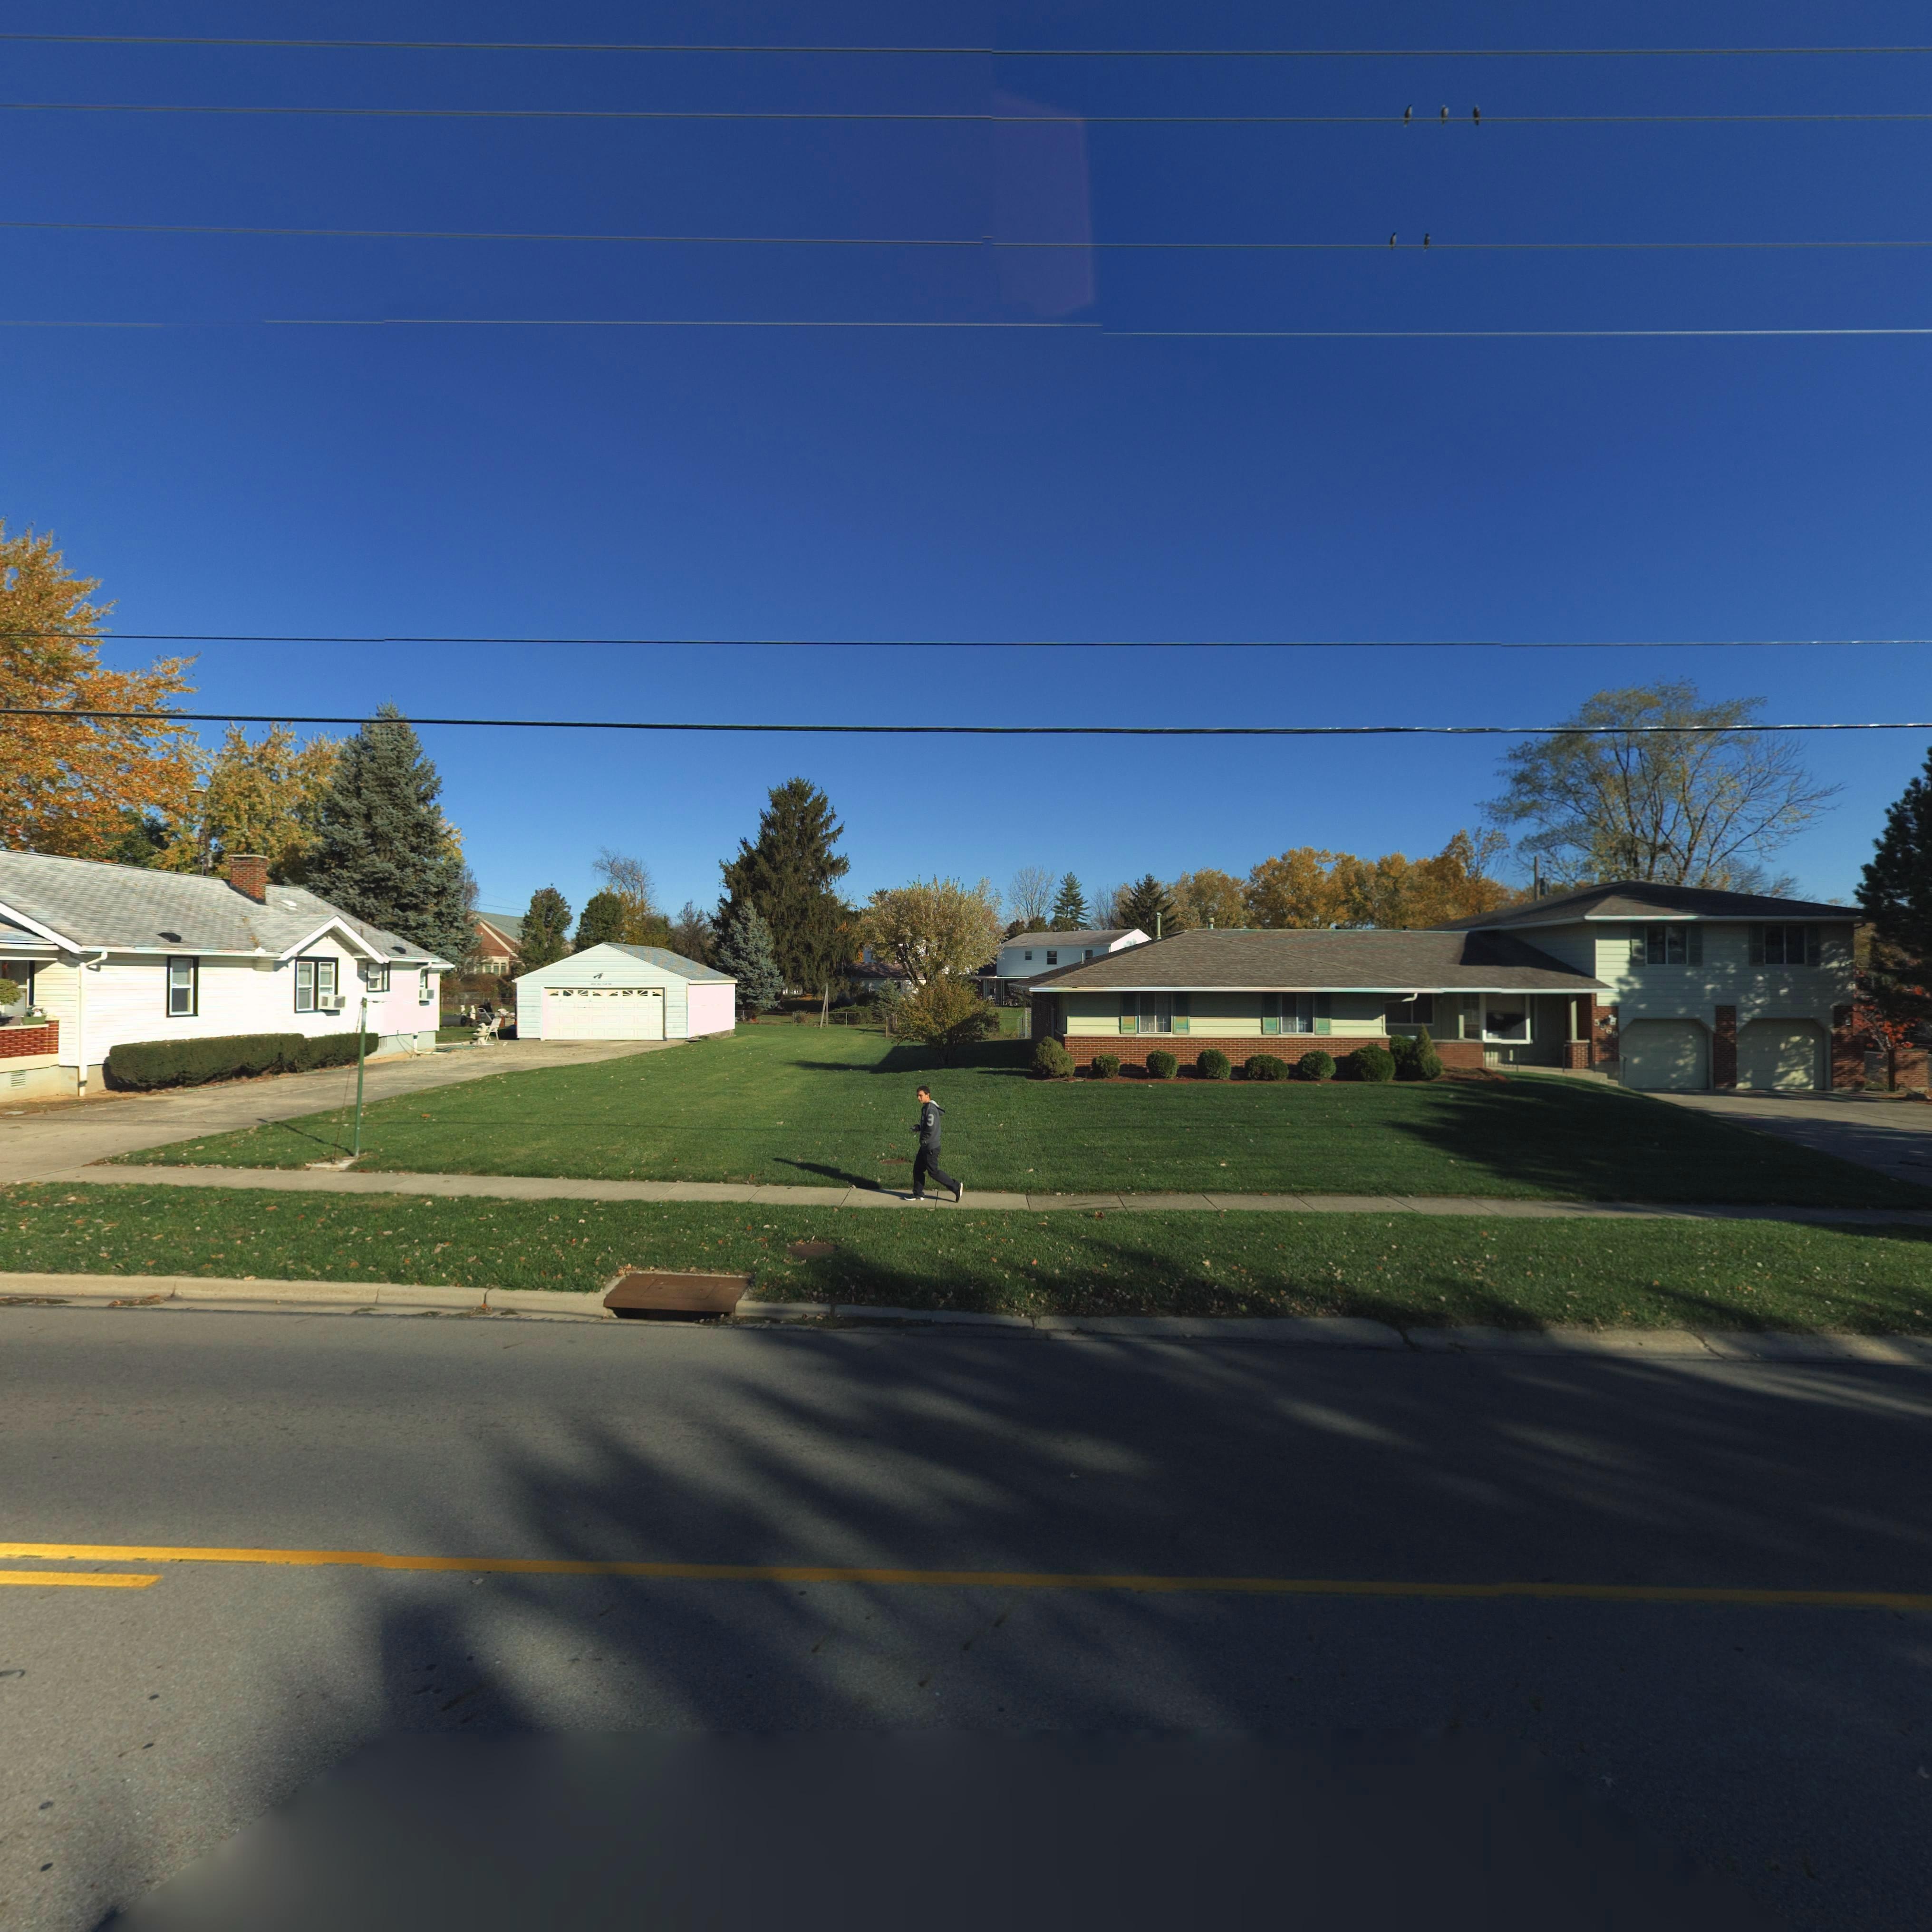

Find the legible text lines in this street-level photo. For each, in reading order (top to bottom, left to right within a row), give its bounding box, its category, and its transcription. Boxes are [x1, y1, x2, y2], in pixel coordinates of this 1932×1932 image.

[1594, 1018, 1619, 1039] StreetNumber: 5969